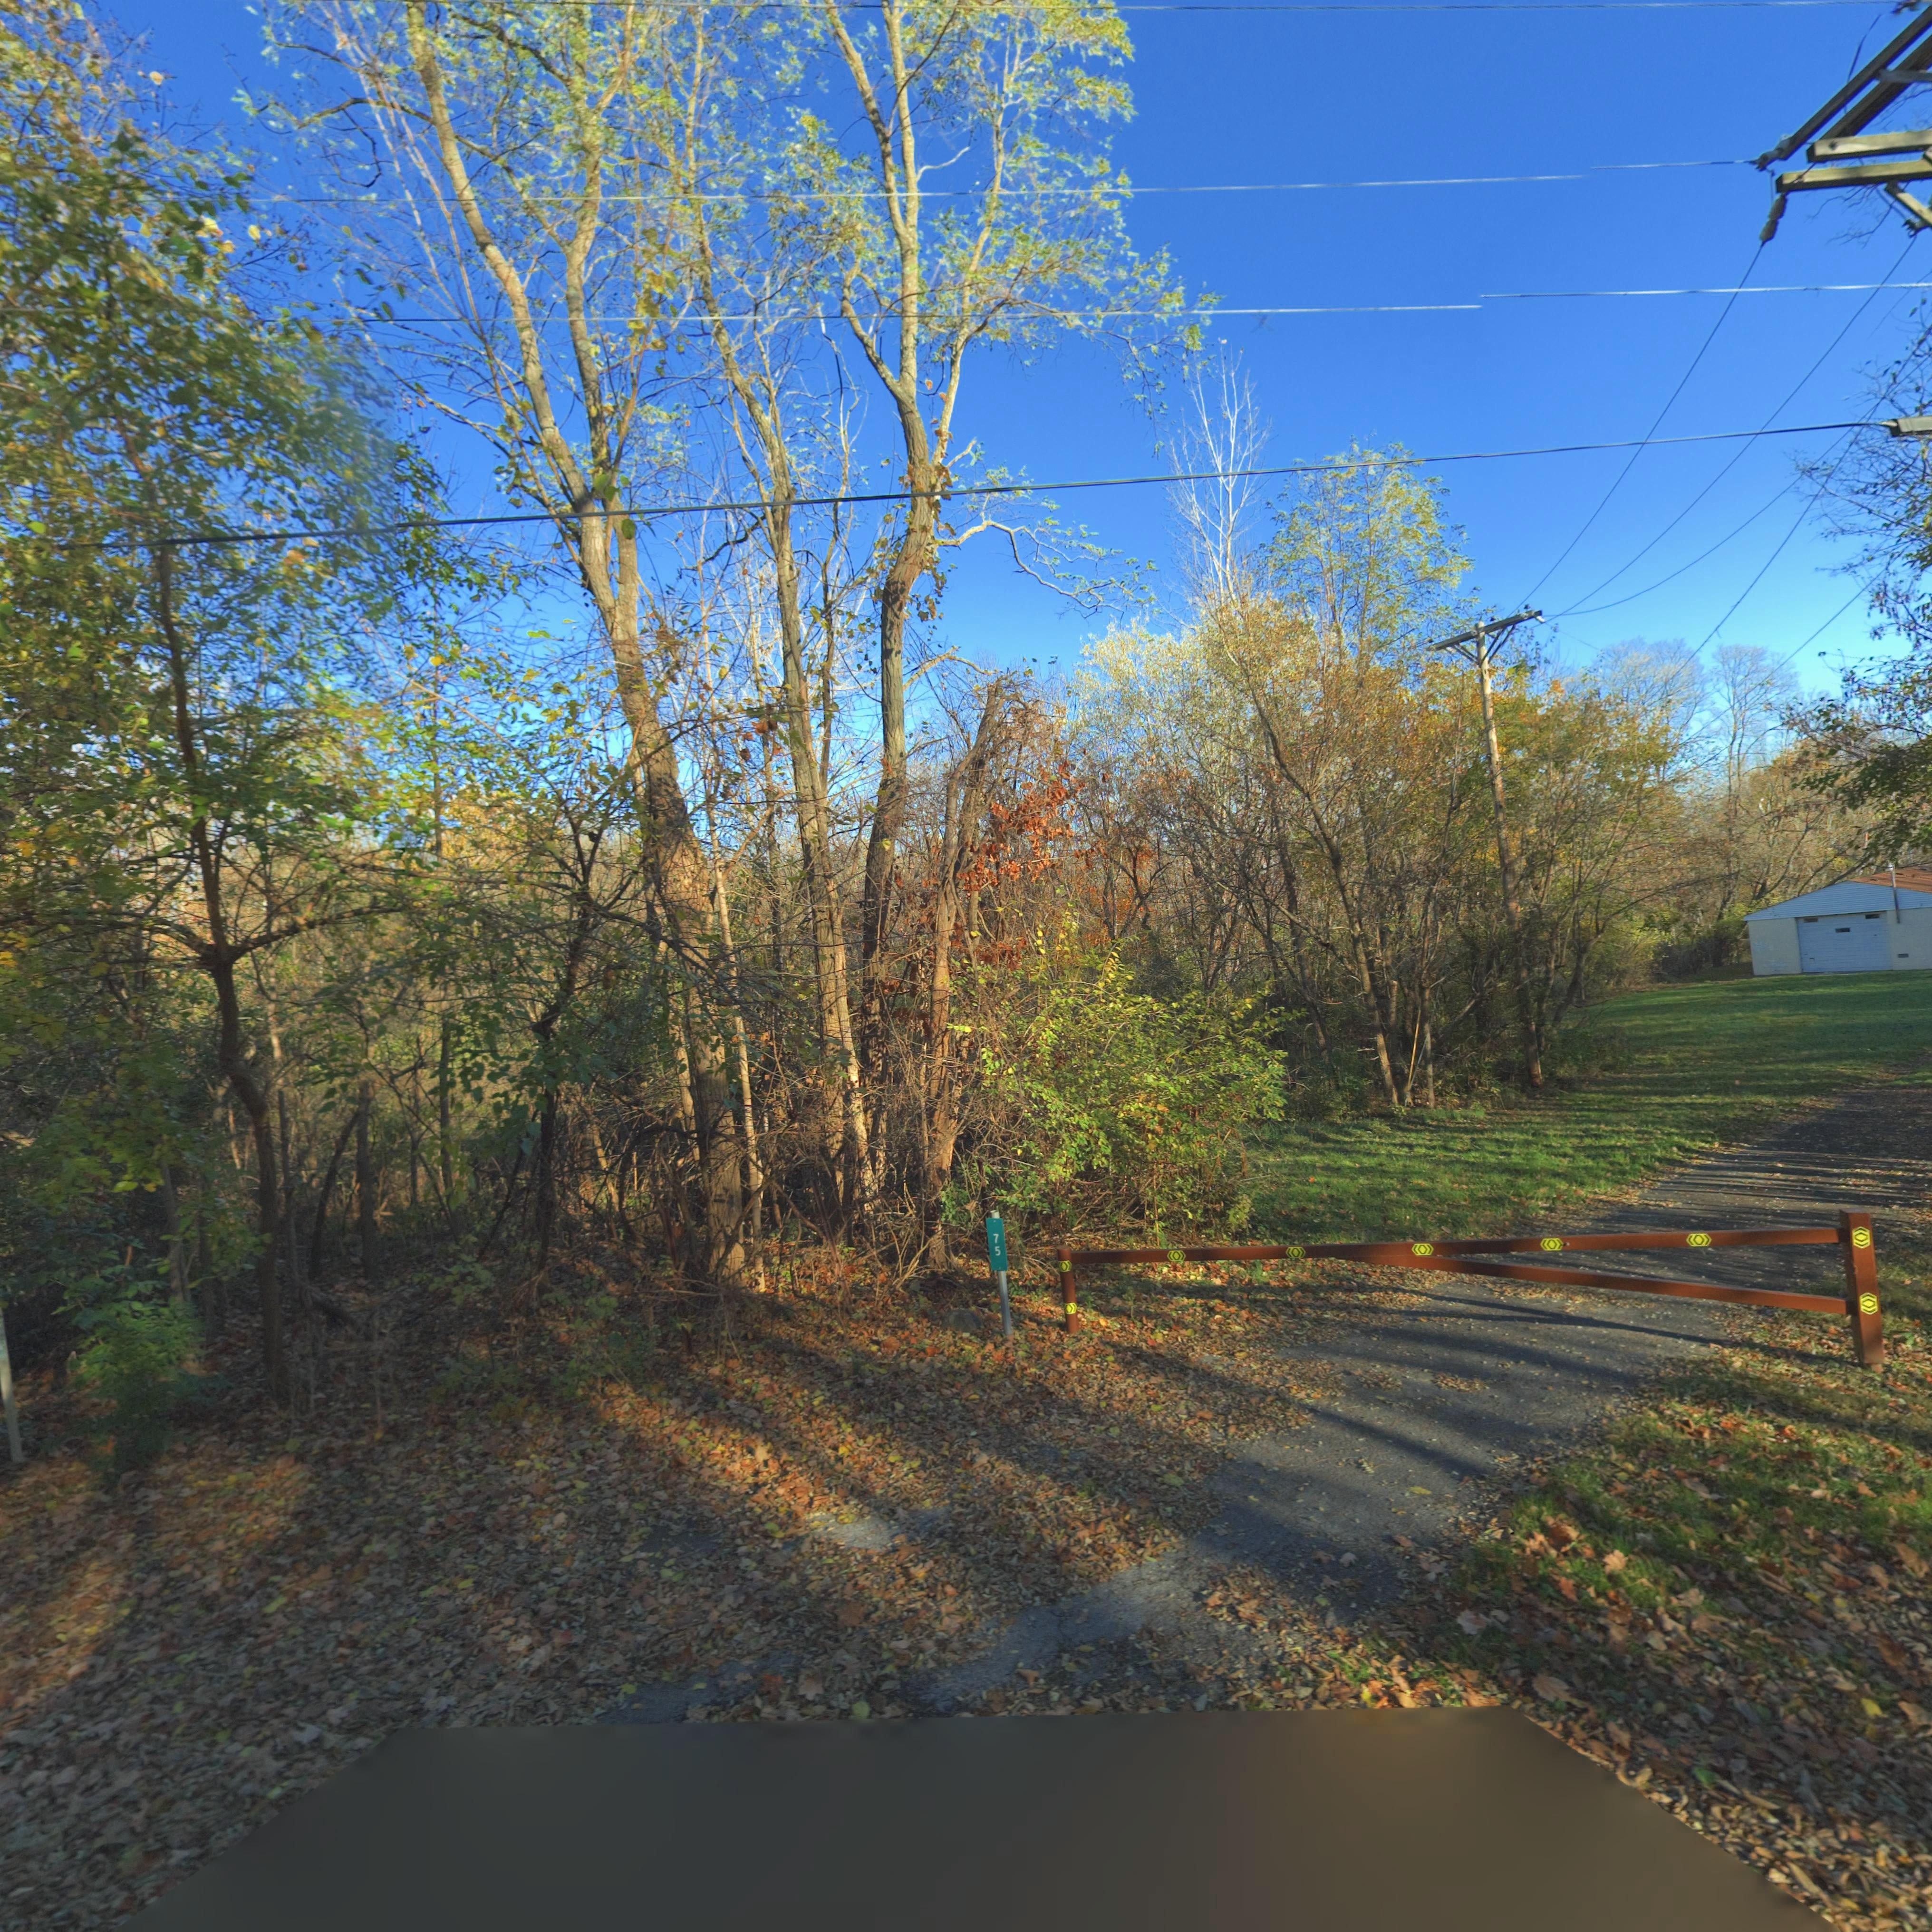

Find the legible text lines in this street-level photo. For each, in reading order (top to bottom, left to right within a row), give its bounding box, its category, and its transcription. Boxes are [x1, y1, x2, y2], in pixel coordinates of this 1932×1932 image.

[991, 1232, 1003, 1257] StreetNumber: 75